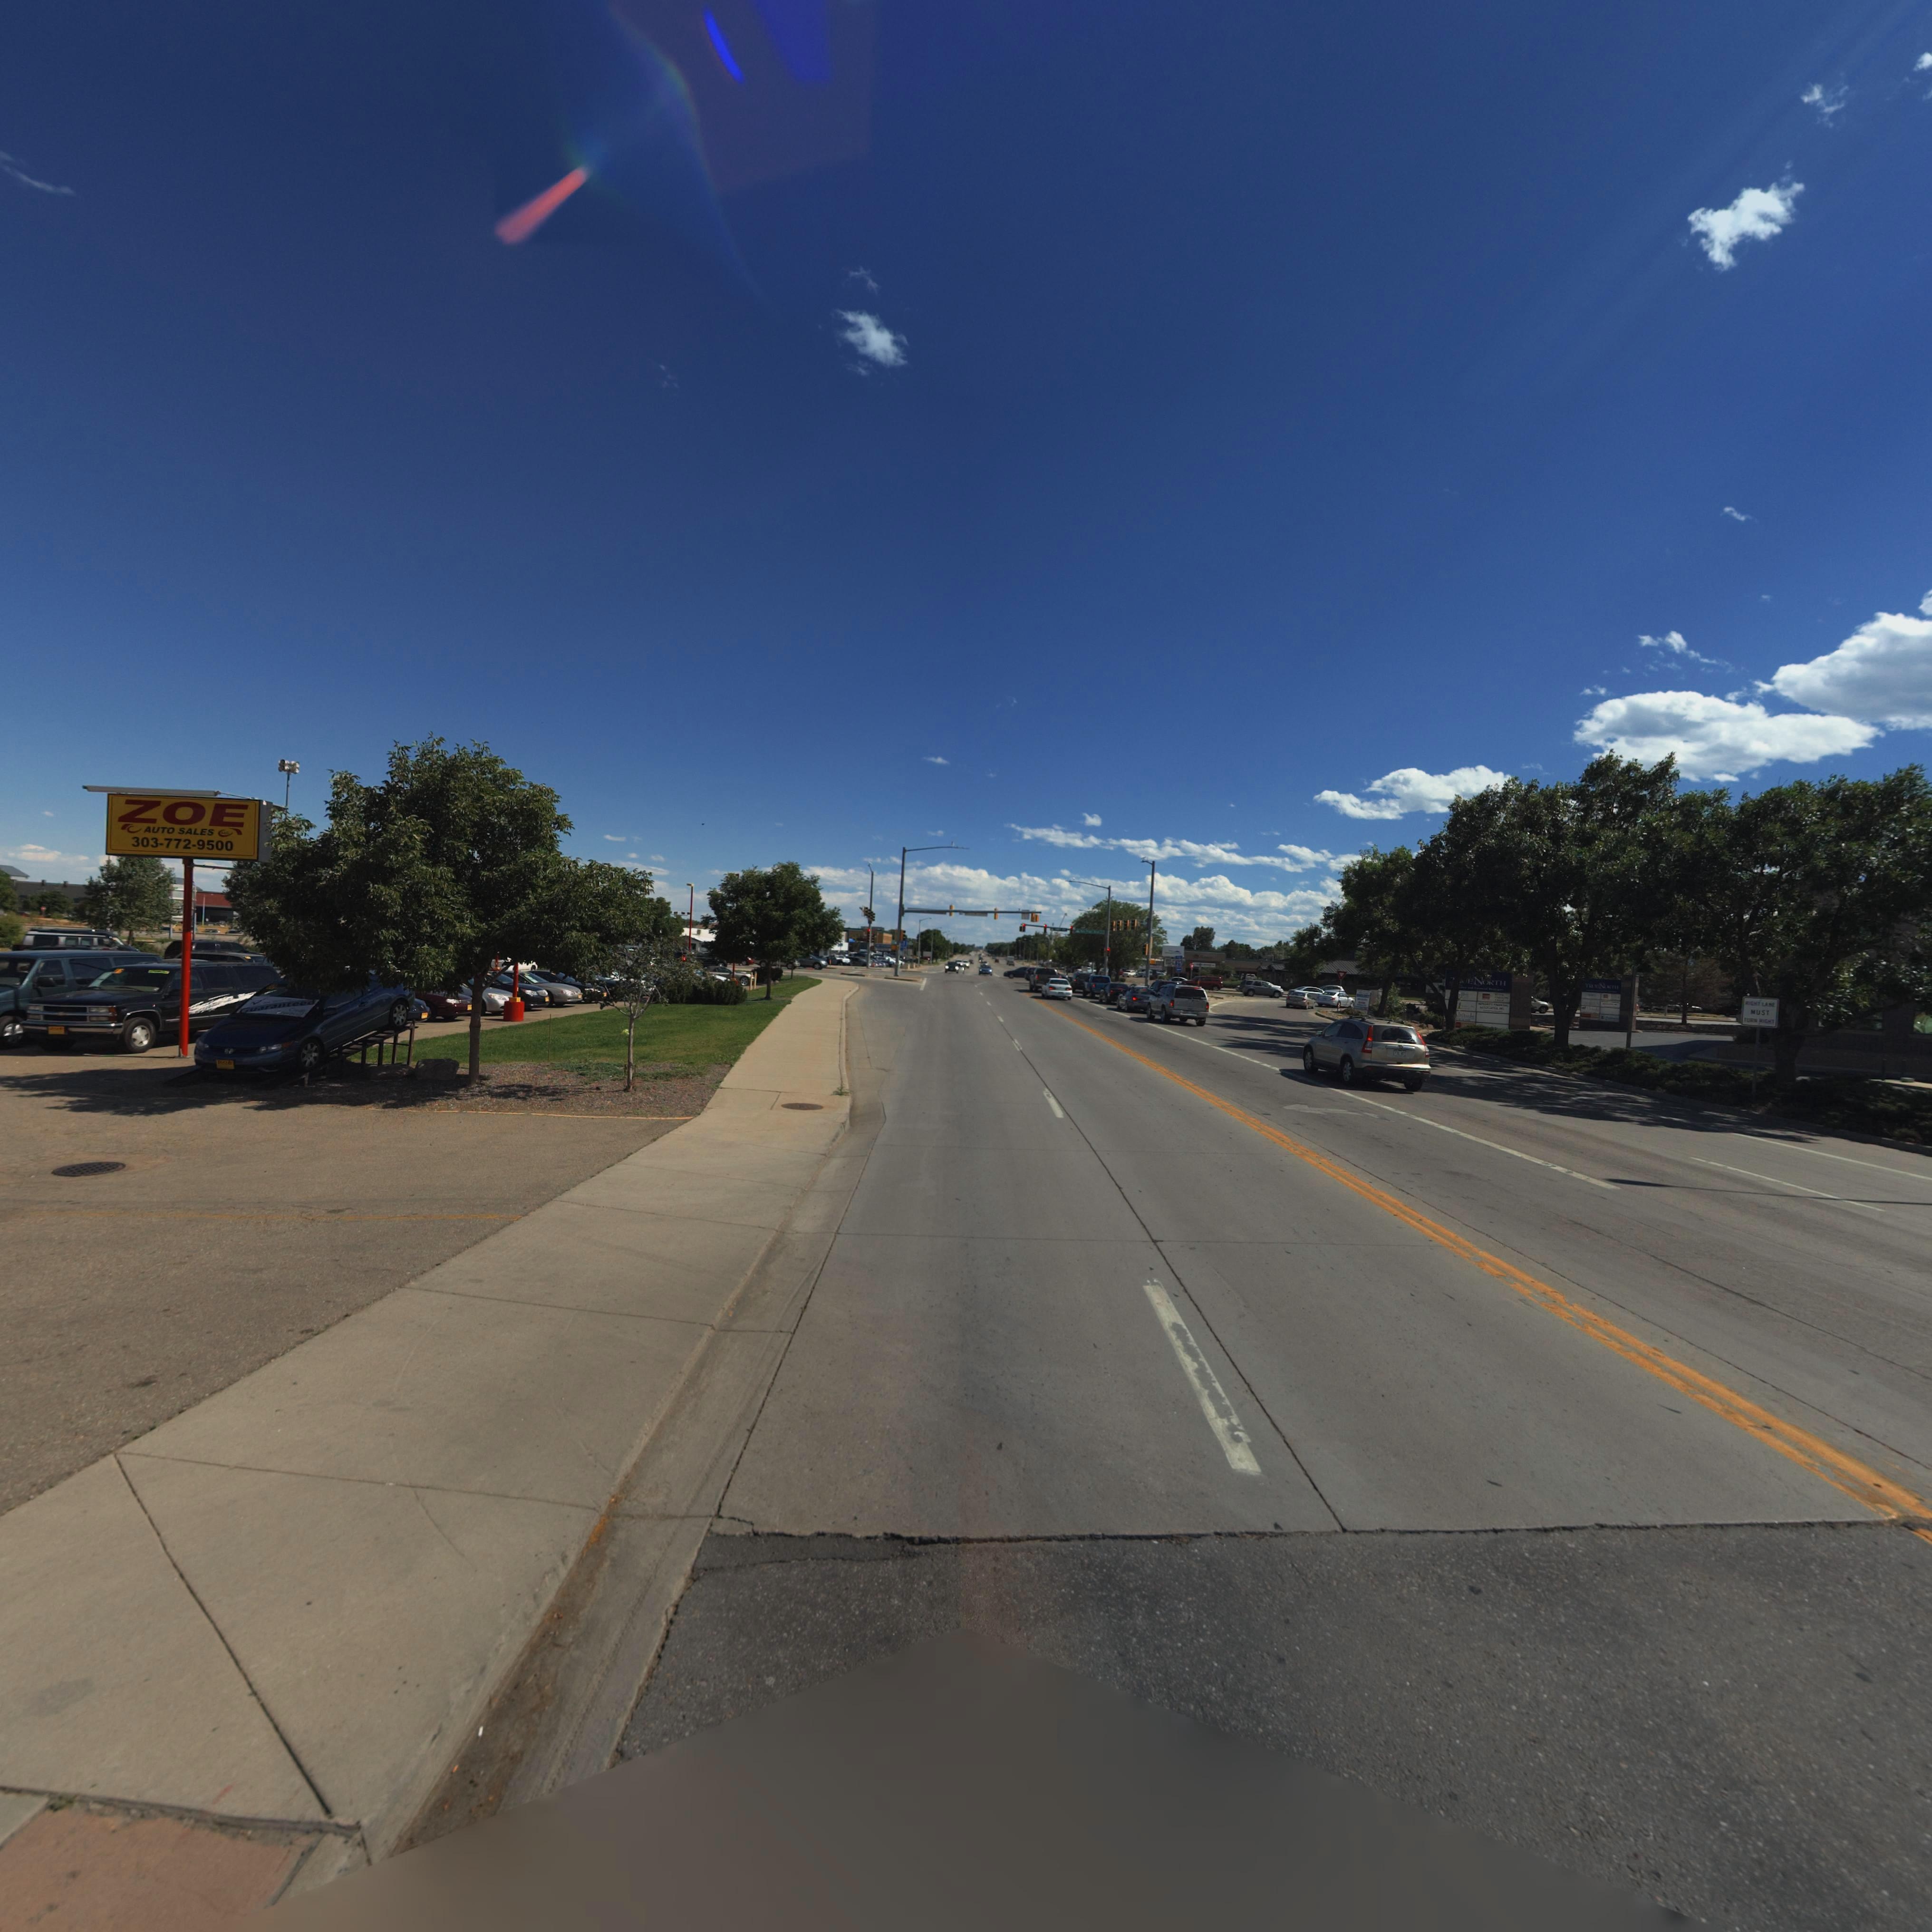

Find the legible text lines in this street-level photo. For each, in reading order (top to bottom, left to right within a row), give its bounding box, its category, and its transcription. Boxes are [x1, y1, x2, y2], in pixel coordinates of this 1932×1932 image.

[117, 798, 249, 828] BusinessName: ZOE
[143, 826, 214, 836] BusinessName: AUTO SALES